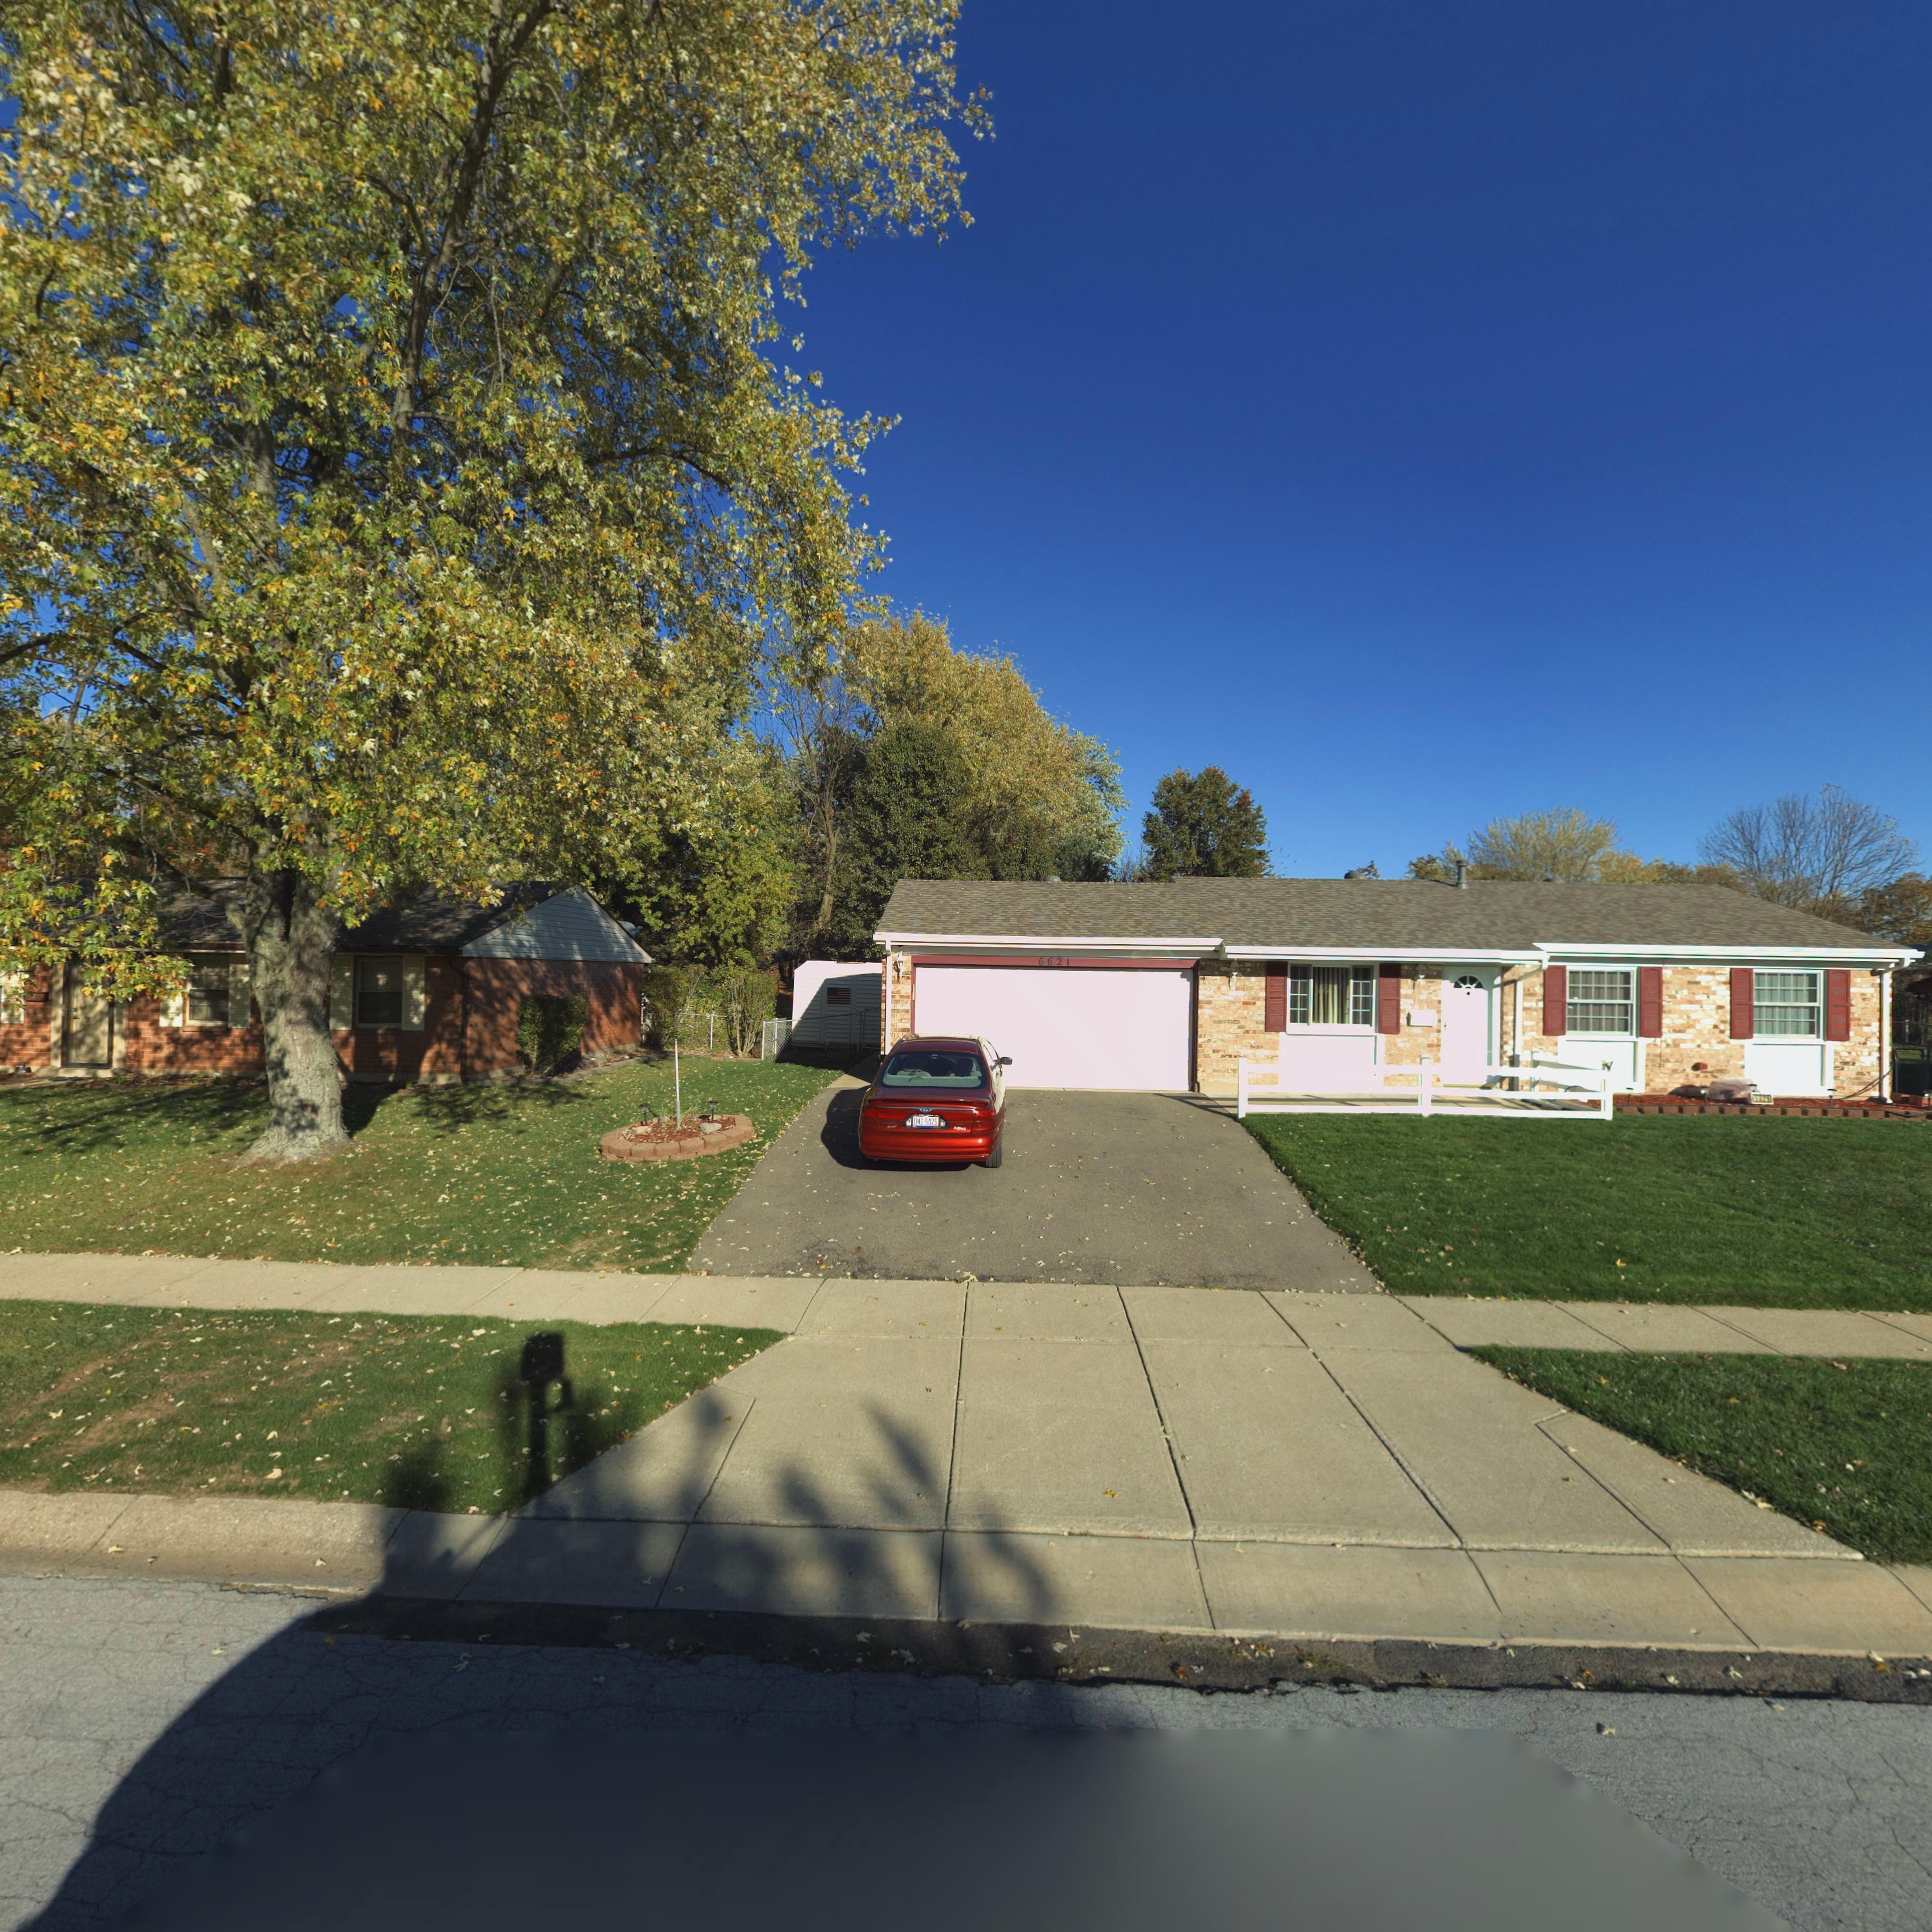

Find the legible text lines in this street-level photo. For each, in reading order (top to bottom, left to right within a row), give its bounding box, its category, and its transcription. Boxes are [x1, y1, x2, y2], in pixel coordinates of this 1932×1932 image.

[1037, 956, 1071, 966] StreetNumber: 6621
[1754, 1095, 1770, 1103] StreetNumber: 6621